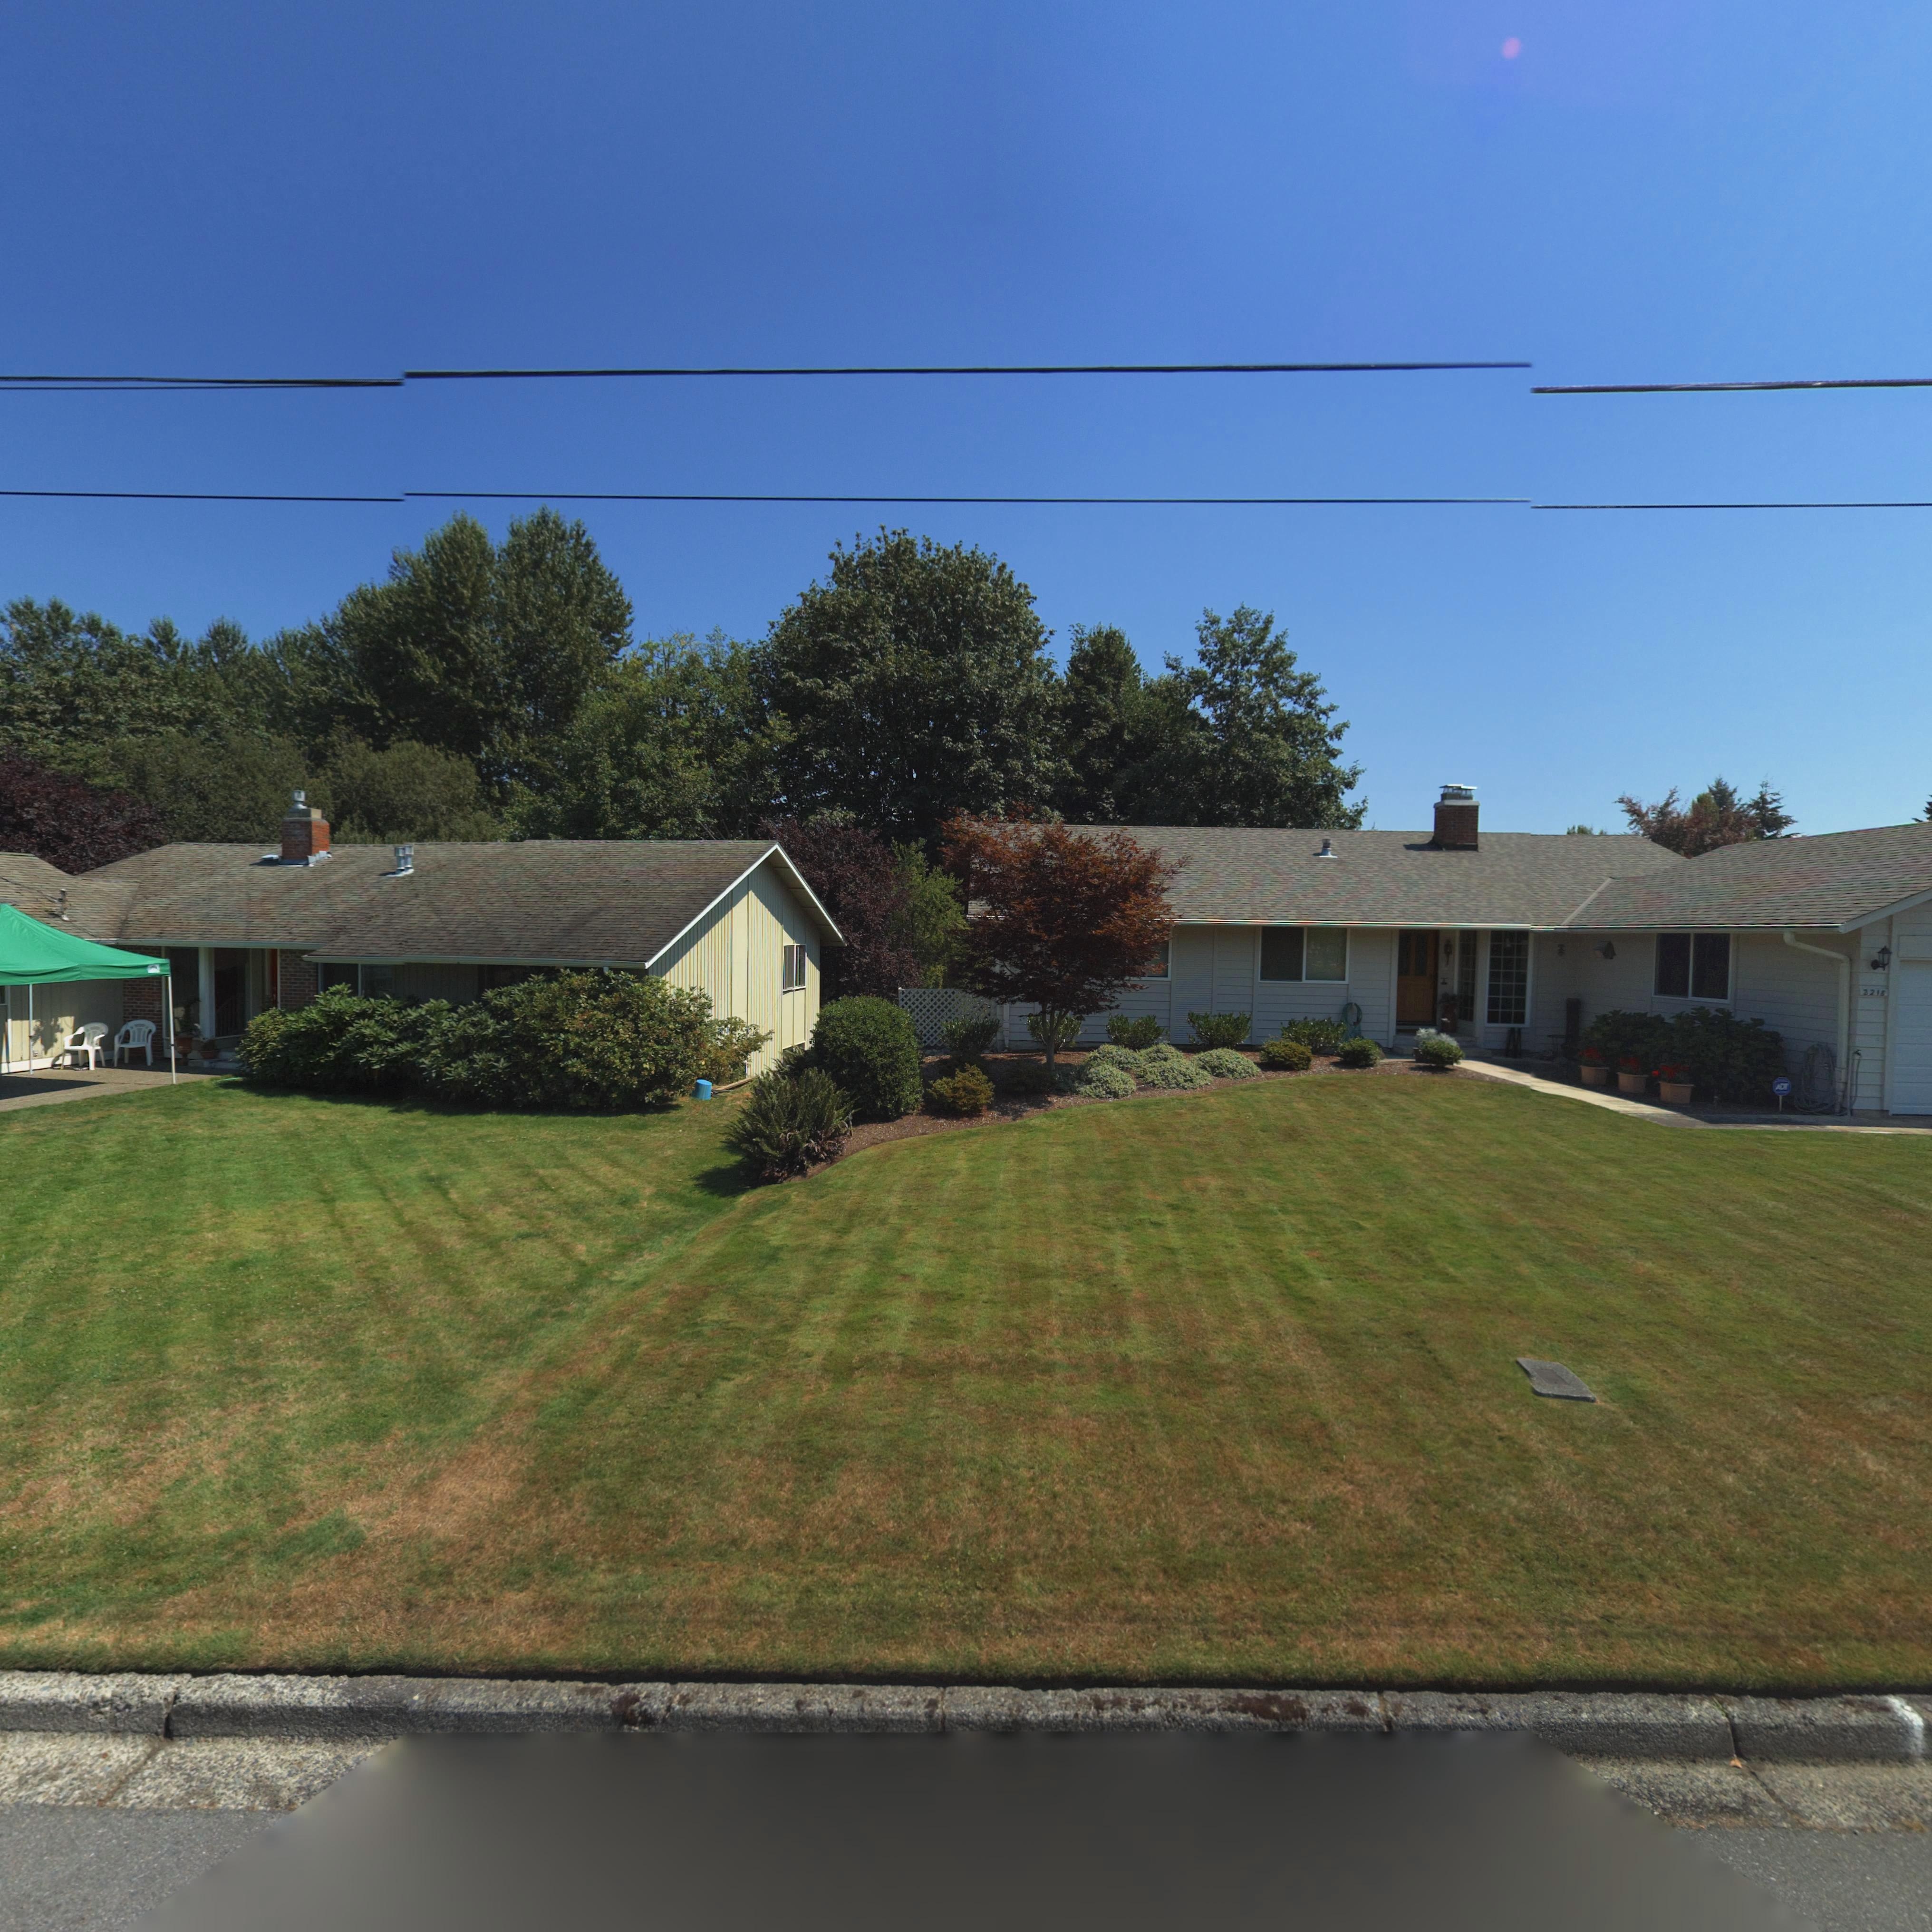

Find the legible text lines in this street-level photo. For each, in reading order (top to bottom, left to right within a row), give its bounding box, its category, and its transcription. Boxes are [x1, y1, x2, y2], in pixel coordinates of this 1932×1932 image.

[1857, 986, 1886, 996] StreetNumber: 2218